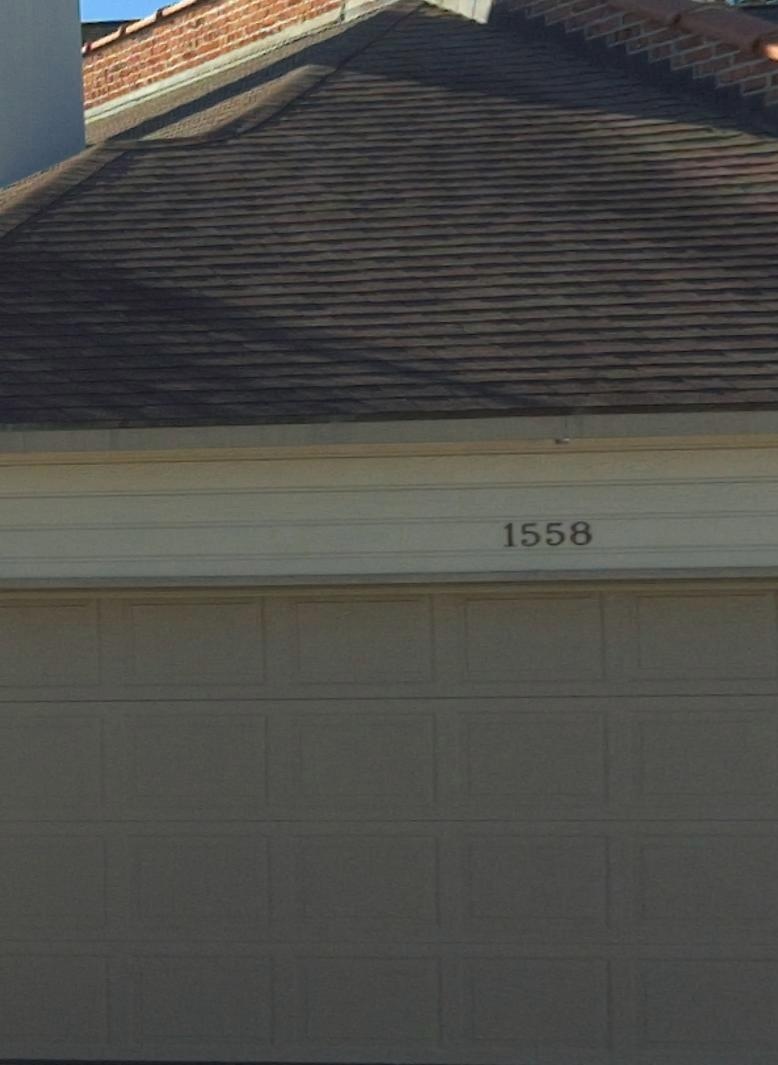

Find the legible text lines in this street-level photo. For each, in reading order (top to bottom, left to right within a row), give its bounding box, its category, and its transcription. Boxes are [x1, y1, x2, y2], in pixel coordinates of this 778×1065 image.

[502, 520, 594, 548] StreetNumber: 1558